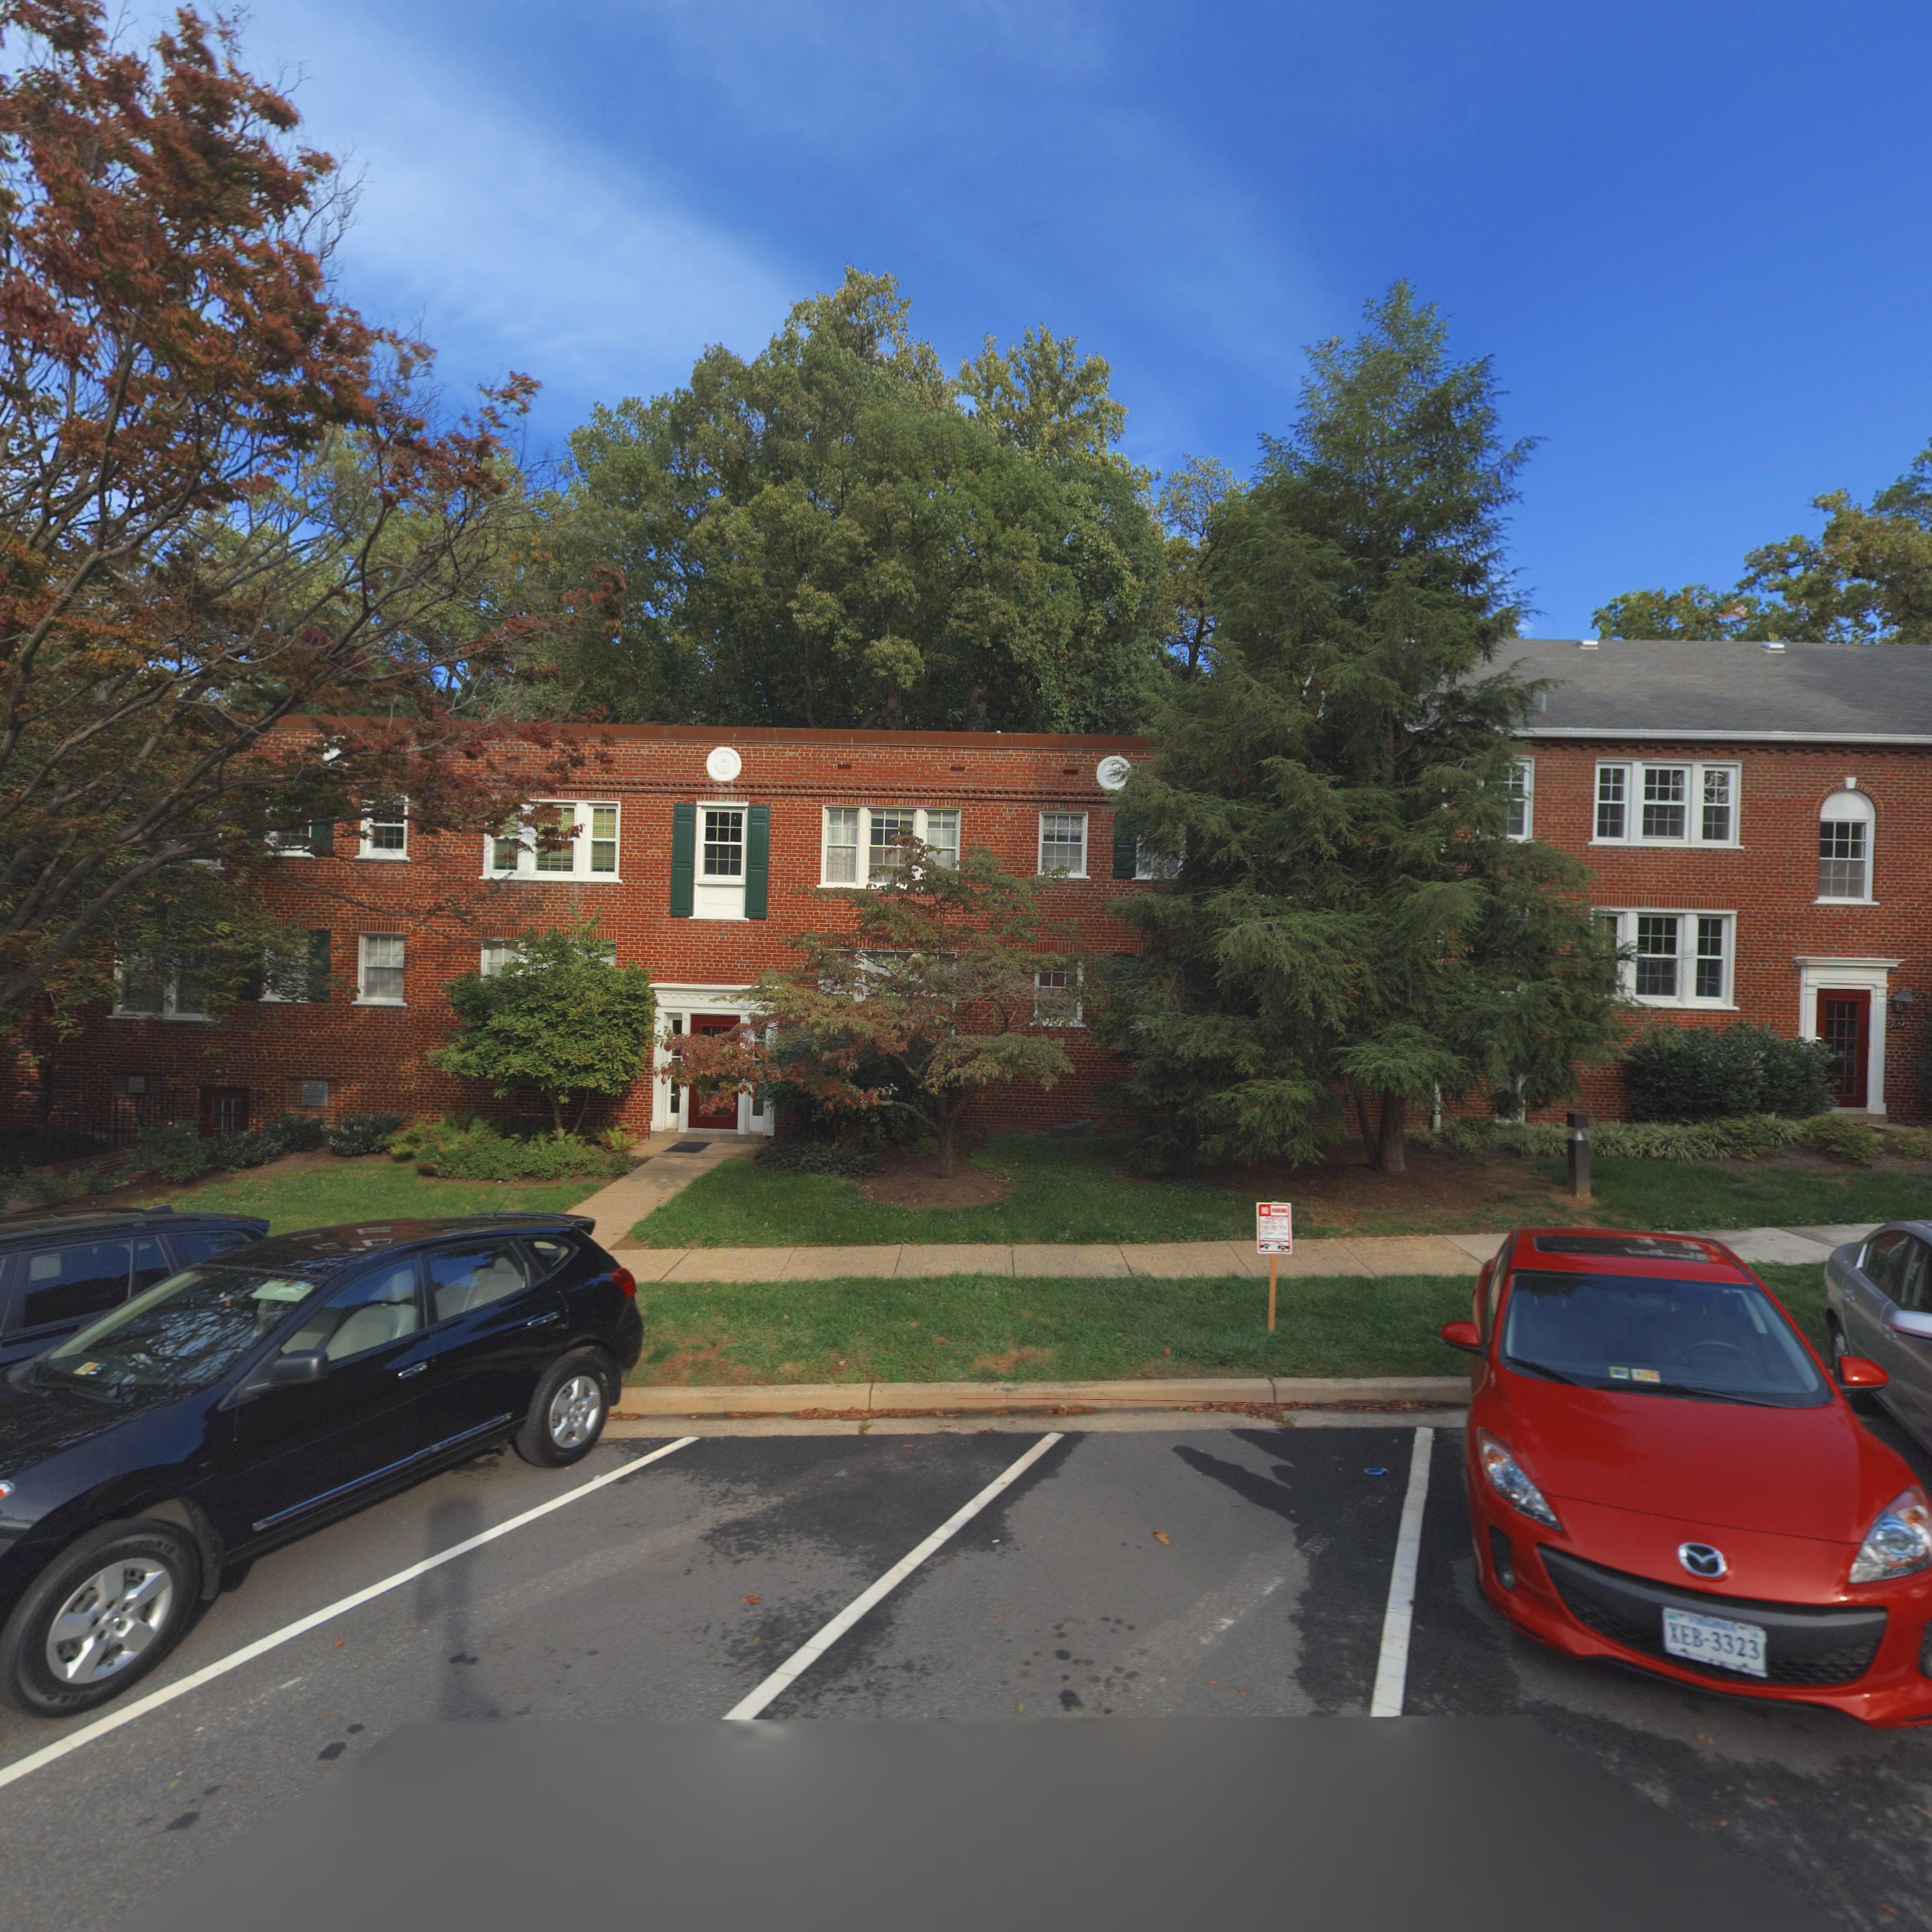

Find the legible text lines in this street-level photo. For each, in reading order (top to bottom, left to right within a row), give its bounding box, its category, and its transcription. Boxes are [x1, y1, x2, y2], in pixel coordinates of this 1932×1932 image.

[1667, 1617, 1765, 1665] None: XEB-3323